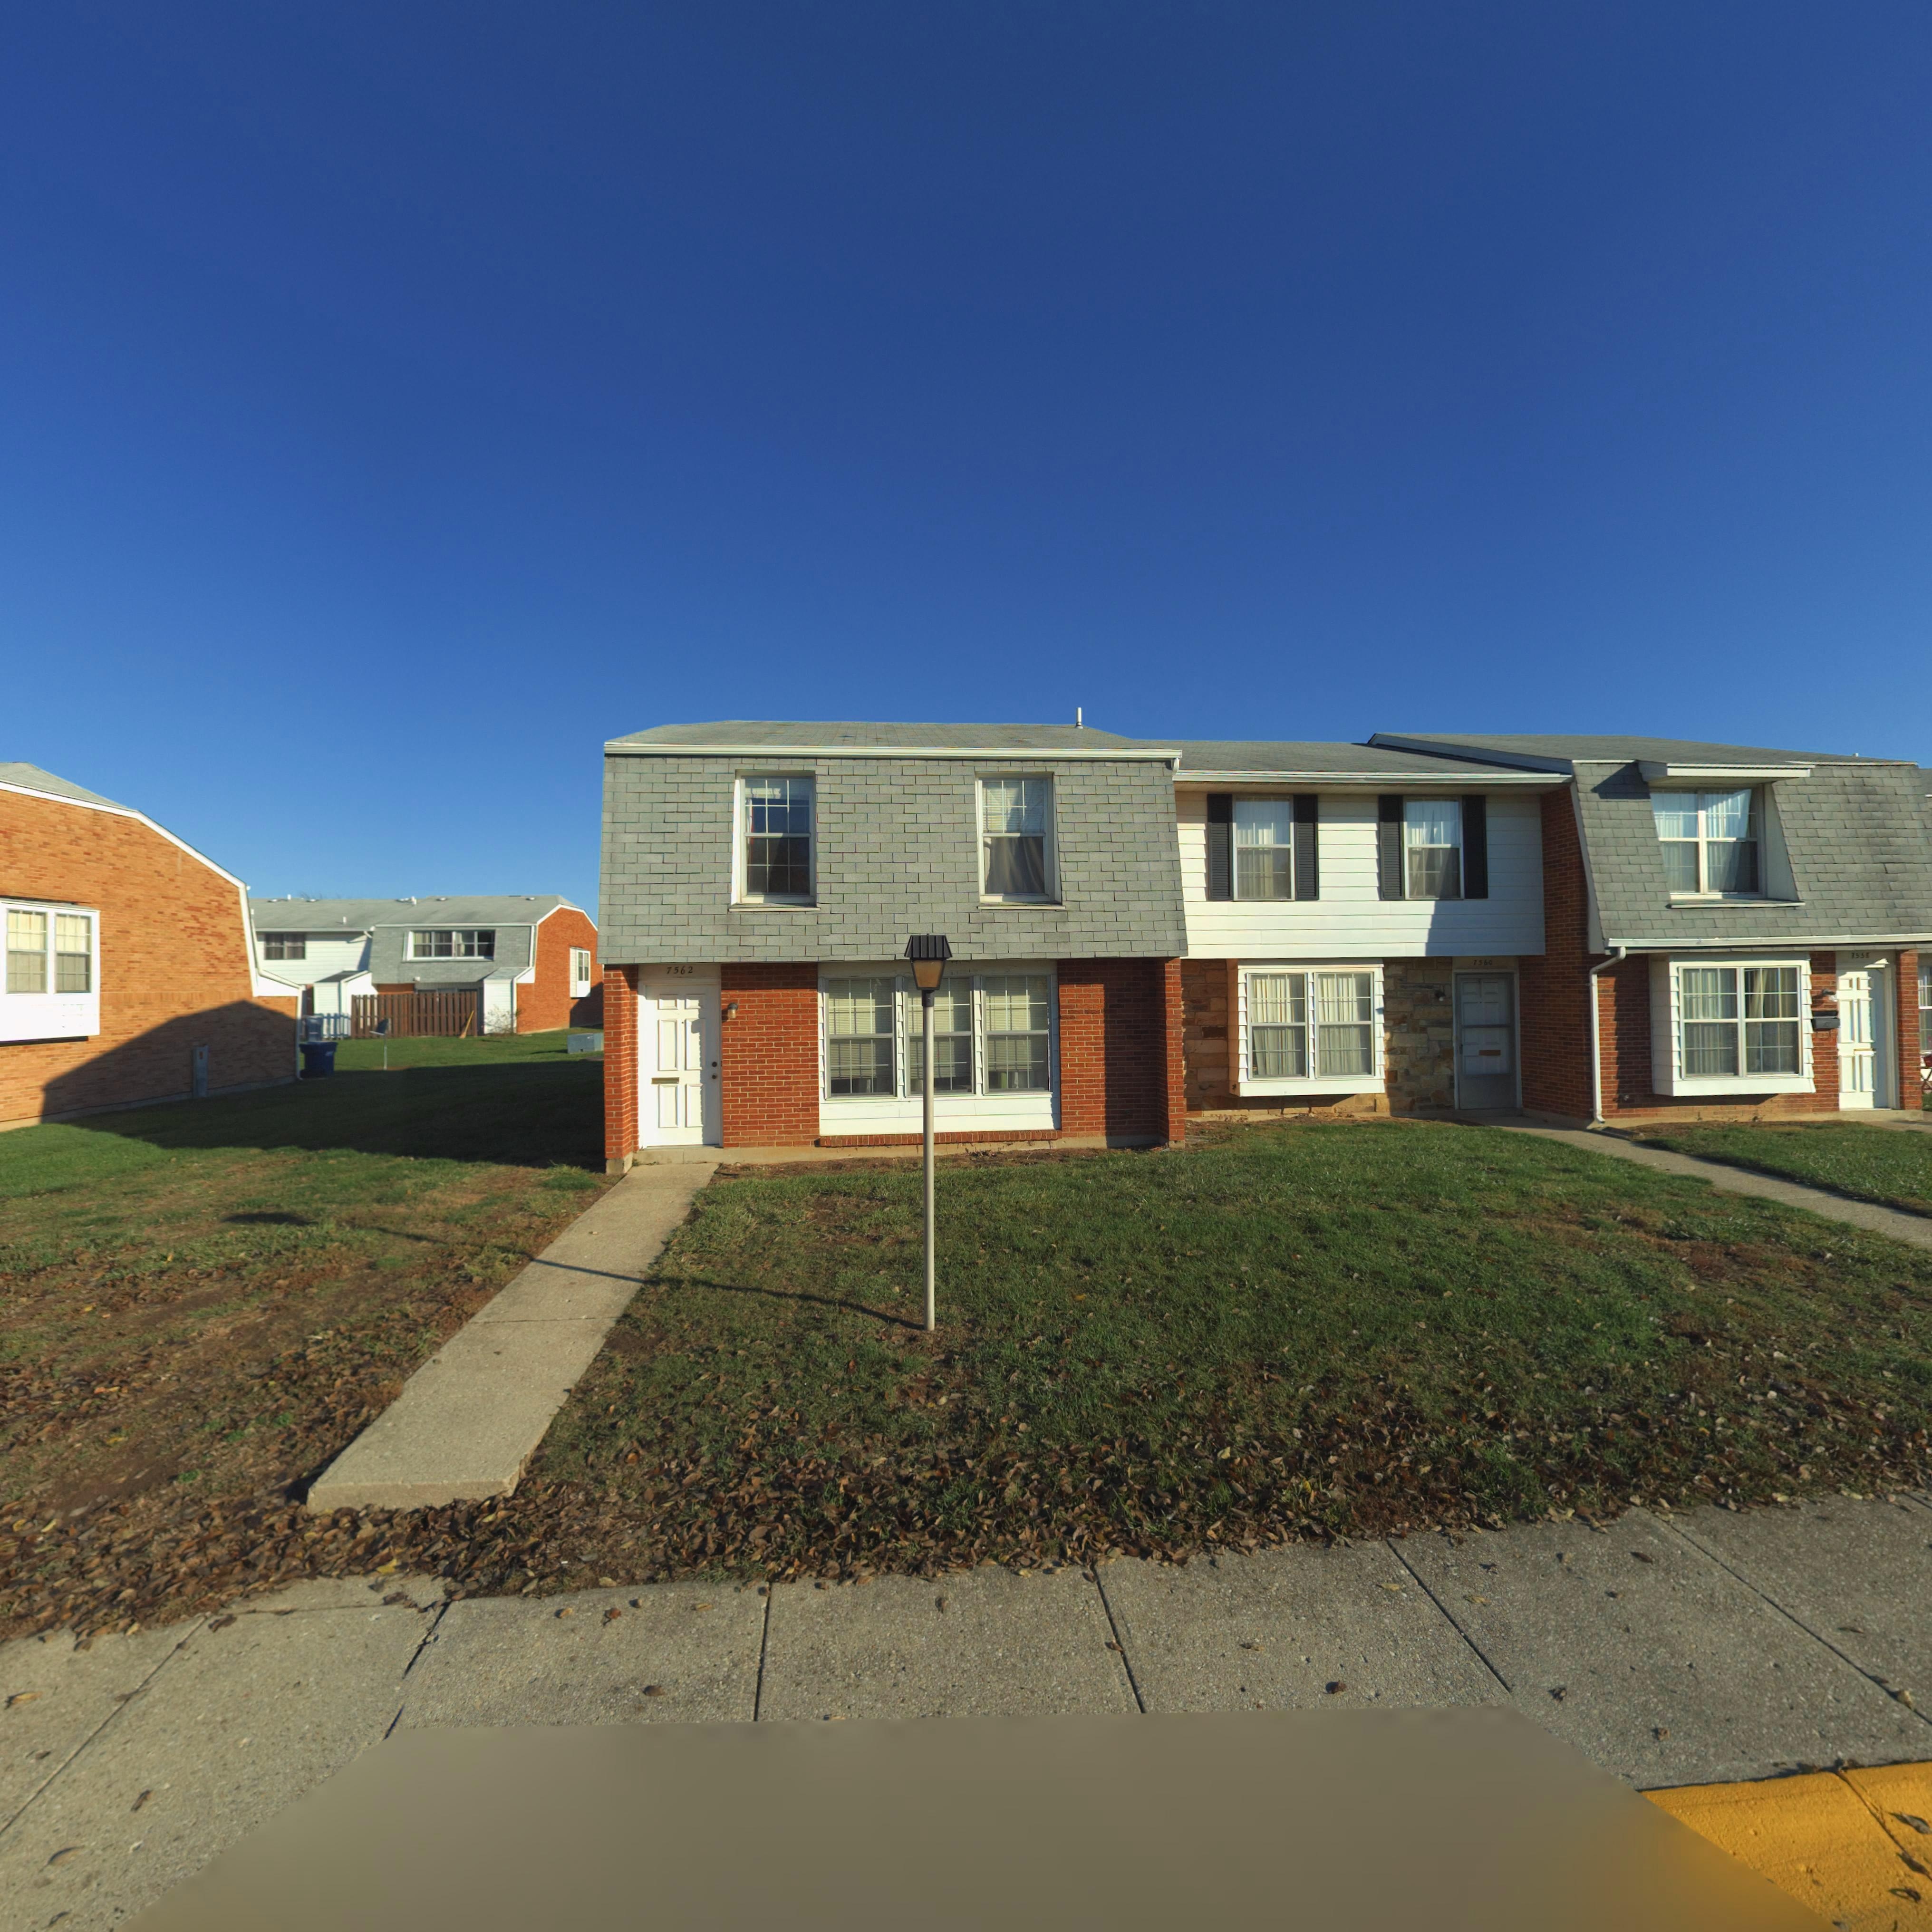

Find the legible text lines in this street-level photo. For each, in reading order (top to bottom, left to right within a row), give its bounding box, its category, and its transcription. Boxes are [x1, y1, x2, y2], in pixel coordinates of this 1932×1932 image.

[1849, 951, 1871, 960] StreetNumber: *55*
[1473, 958, 1493, 966] StreetNumber: 7560
[666, 964, 694, 976] StreetNumber: 7562